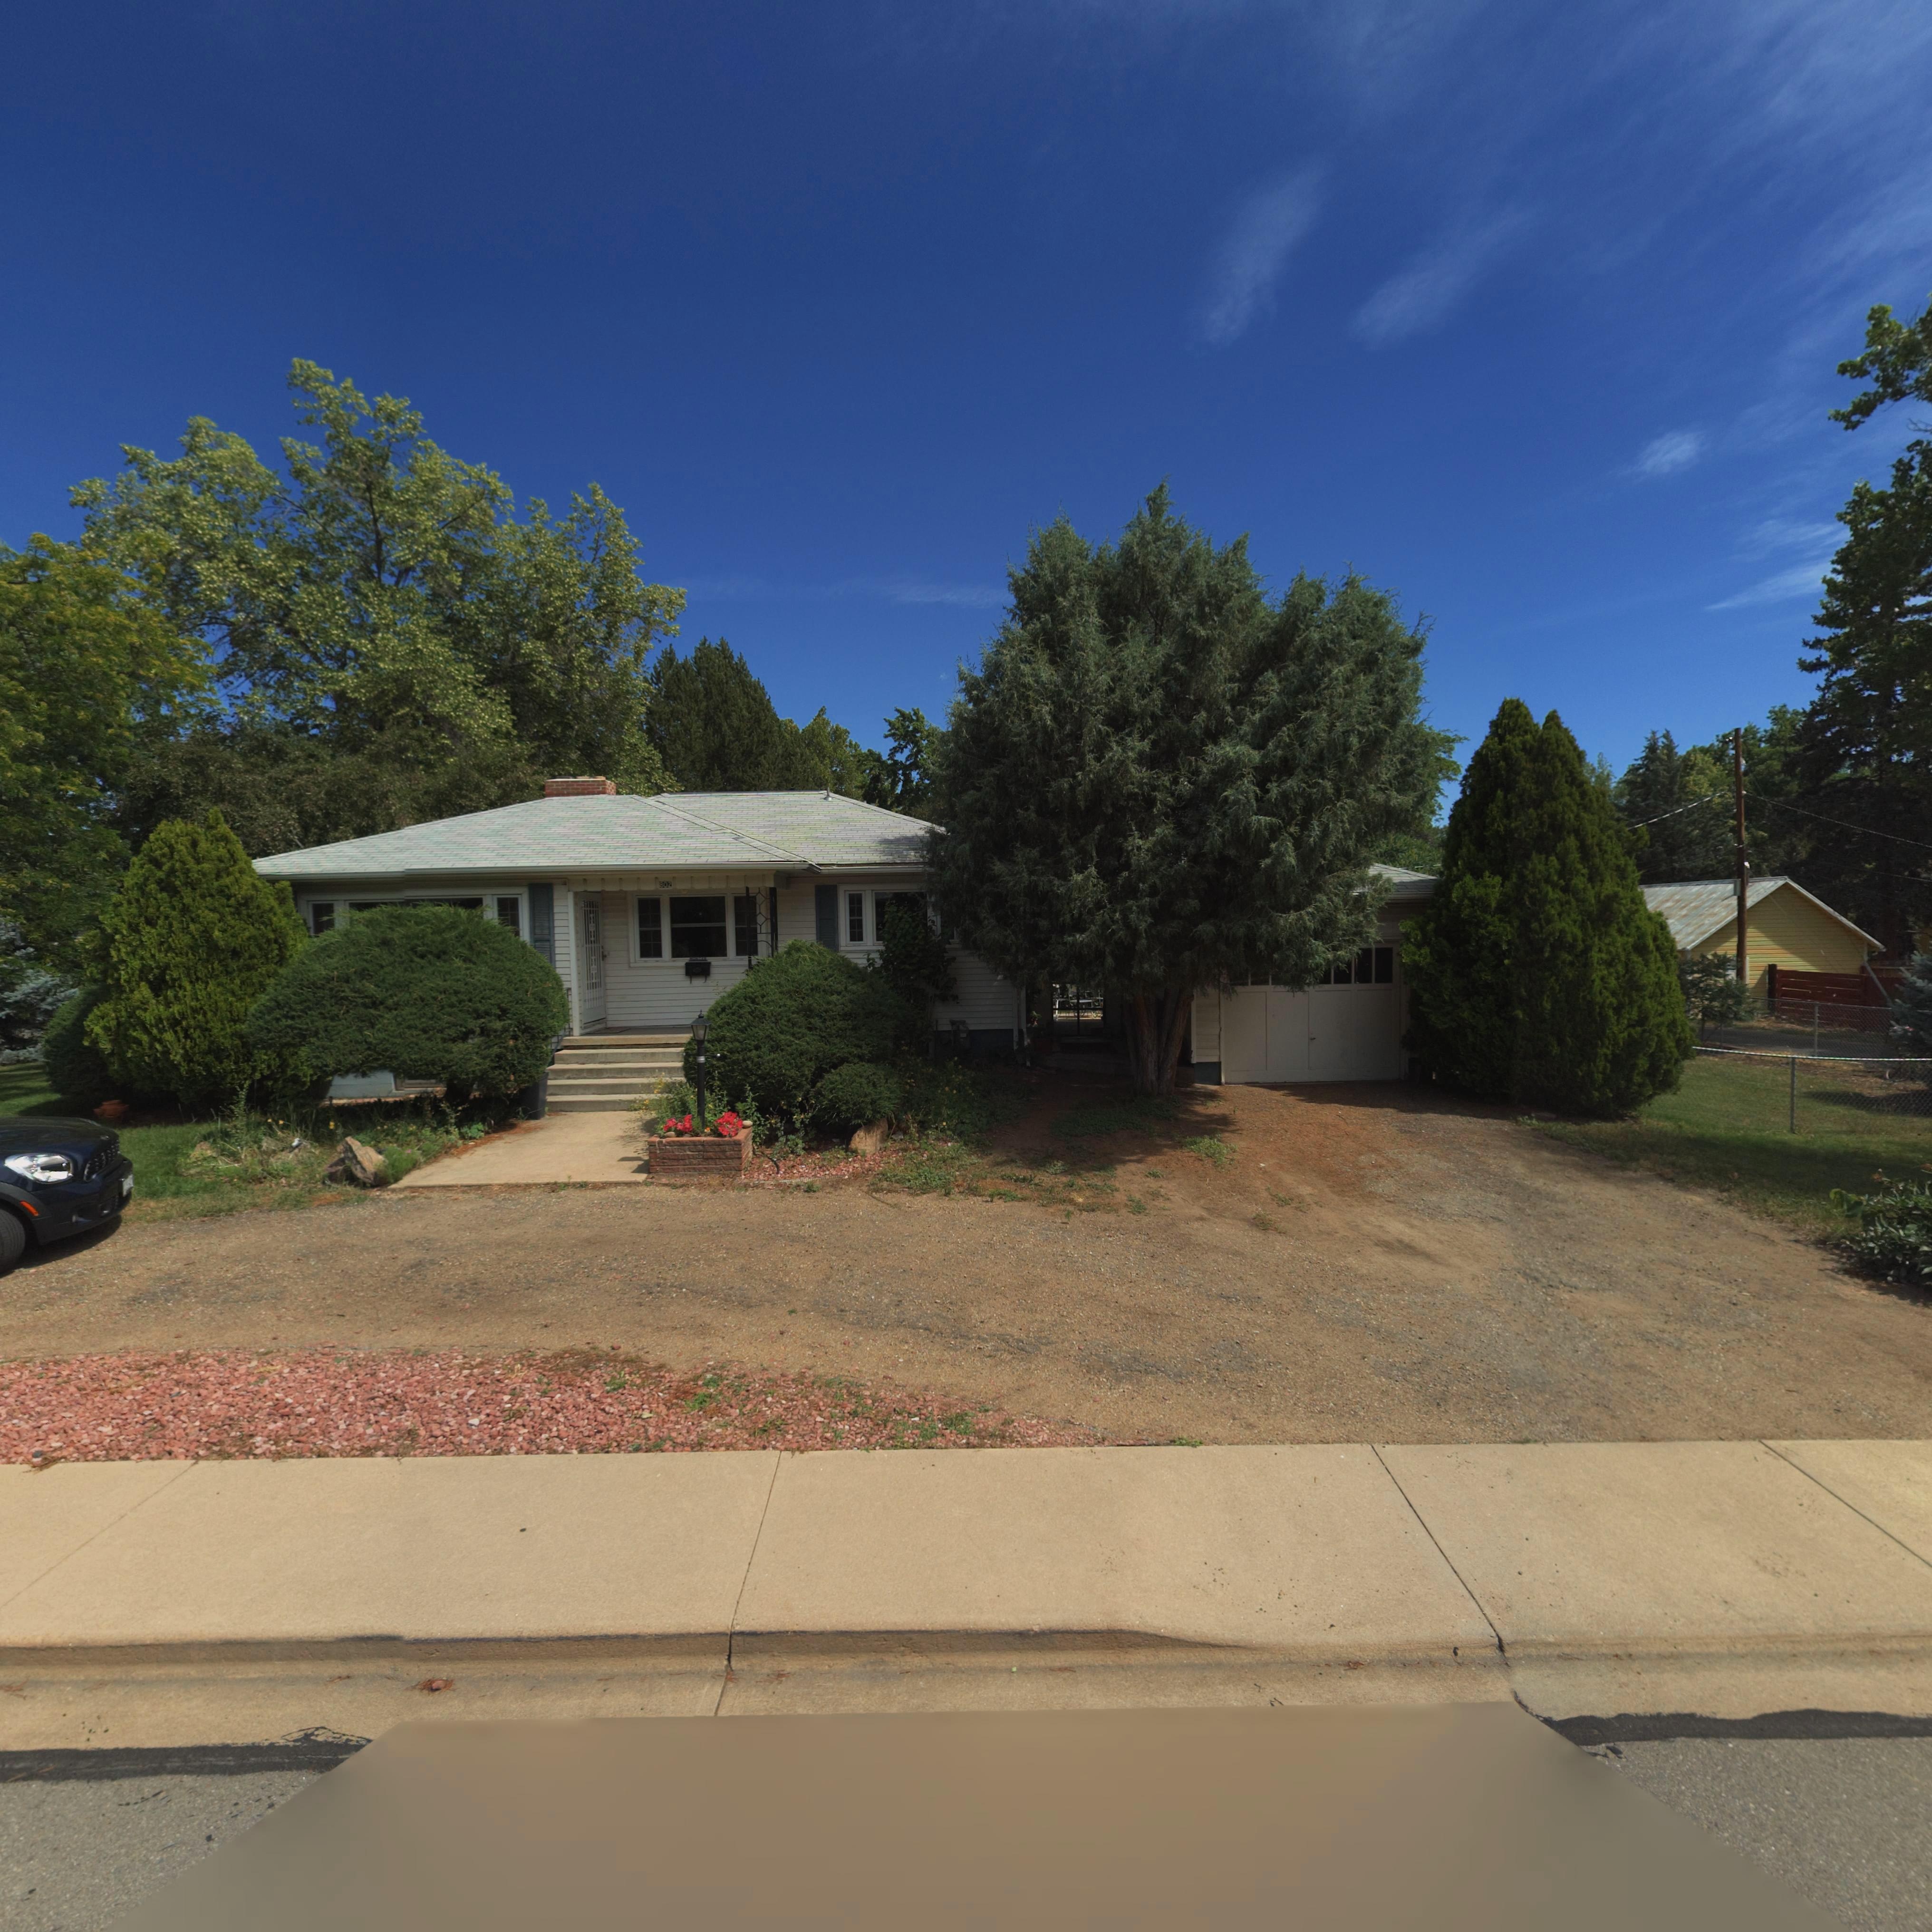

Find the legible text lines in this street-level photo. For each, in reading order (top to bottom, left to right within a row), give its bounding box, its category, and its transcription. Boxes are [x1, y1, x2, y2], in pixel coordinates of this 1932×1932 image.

[659, 881, 671, 888] StreetNumber: 802